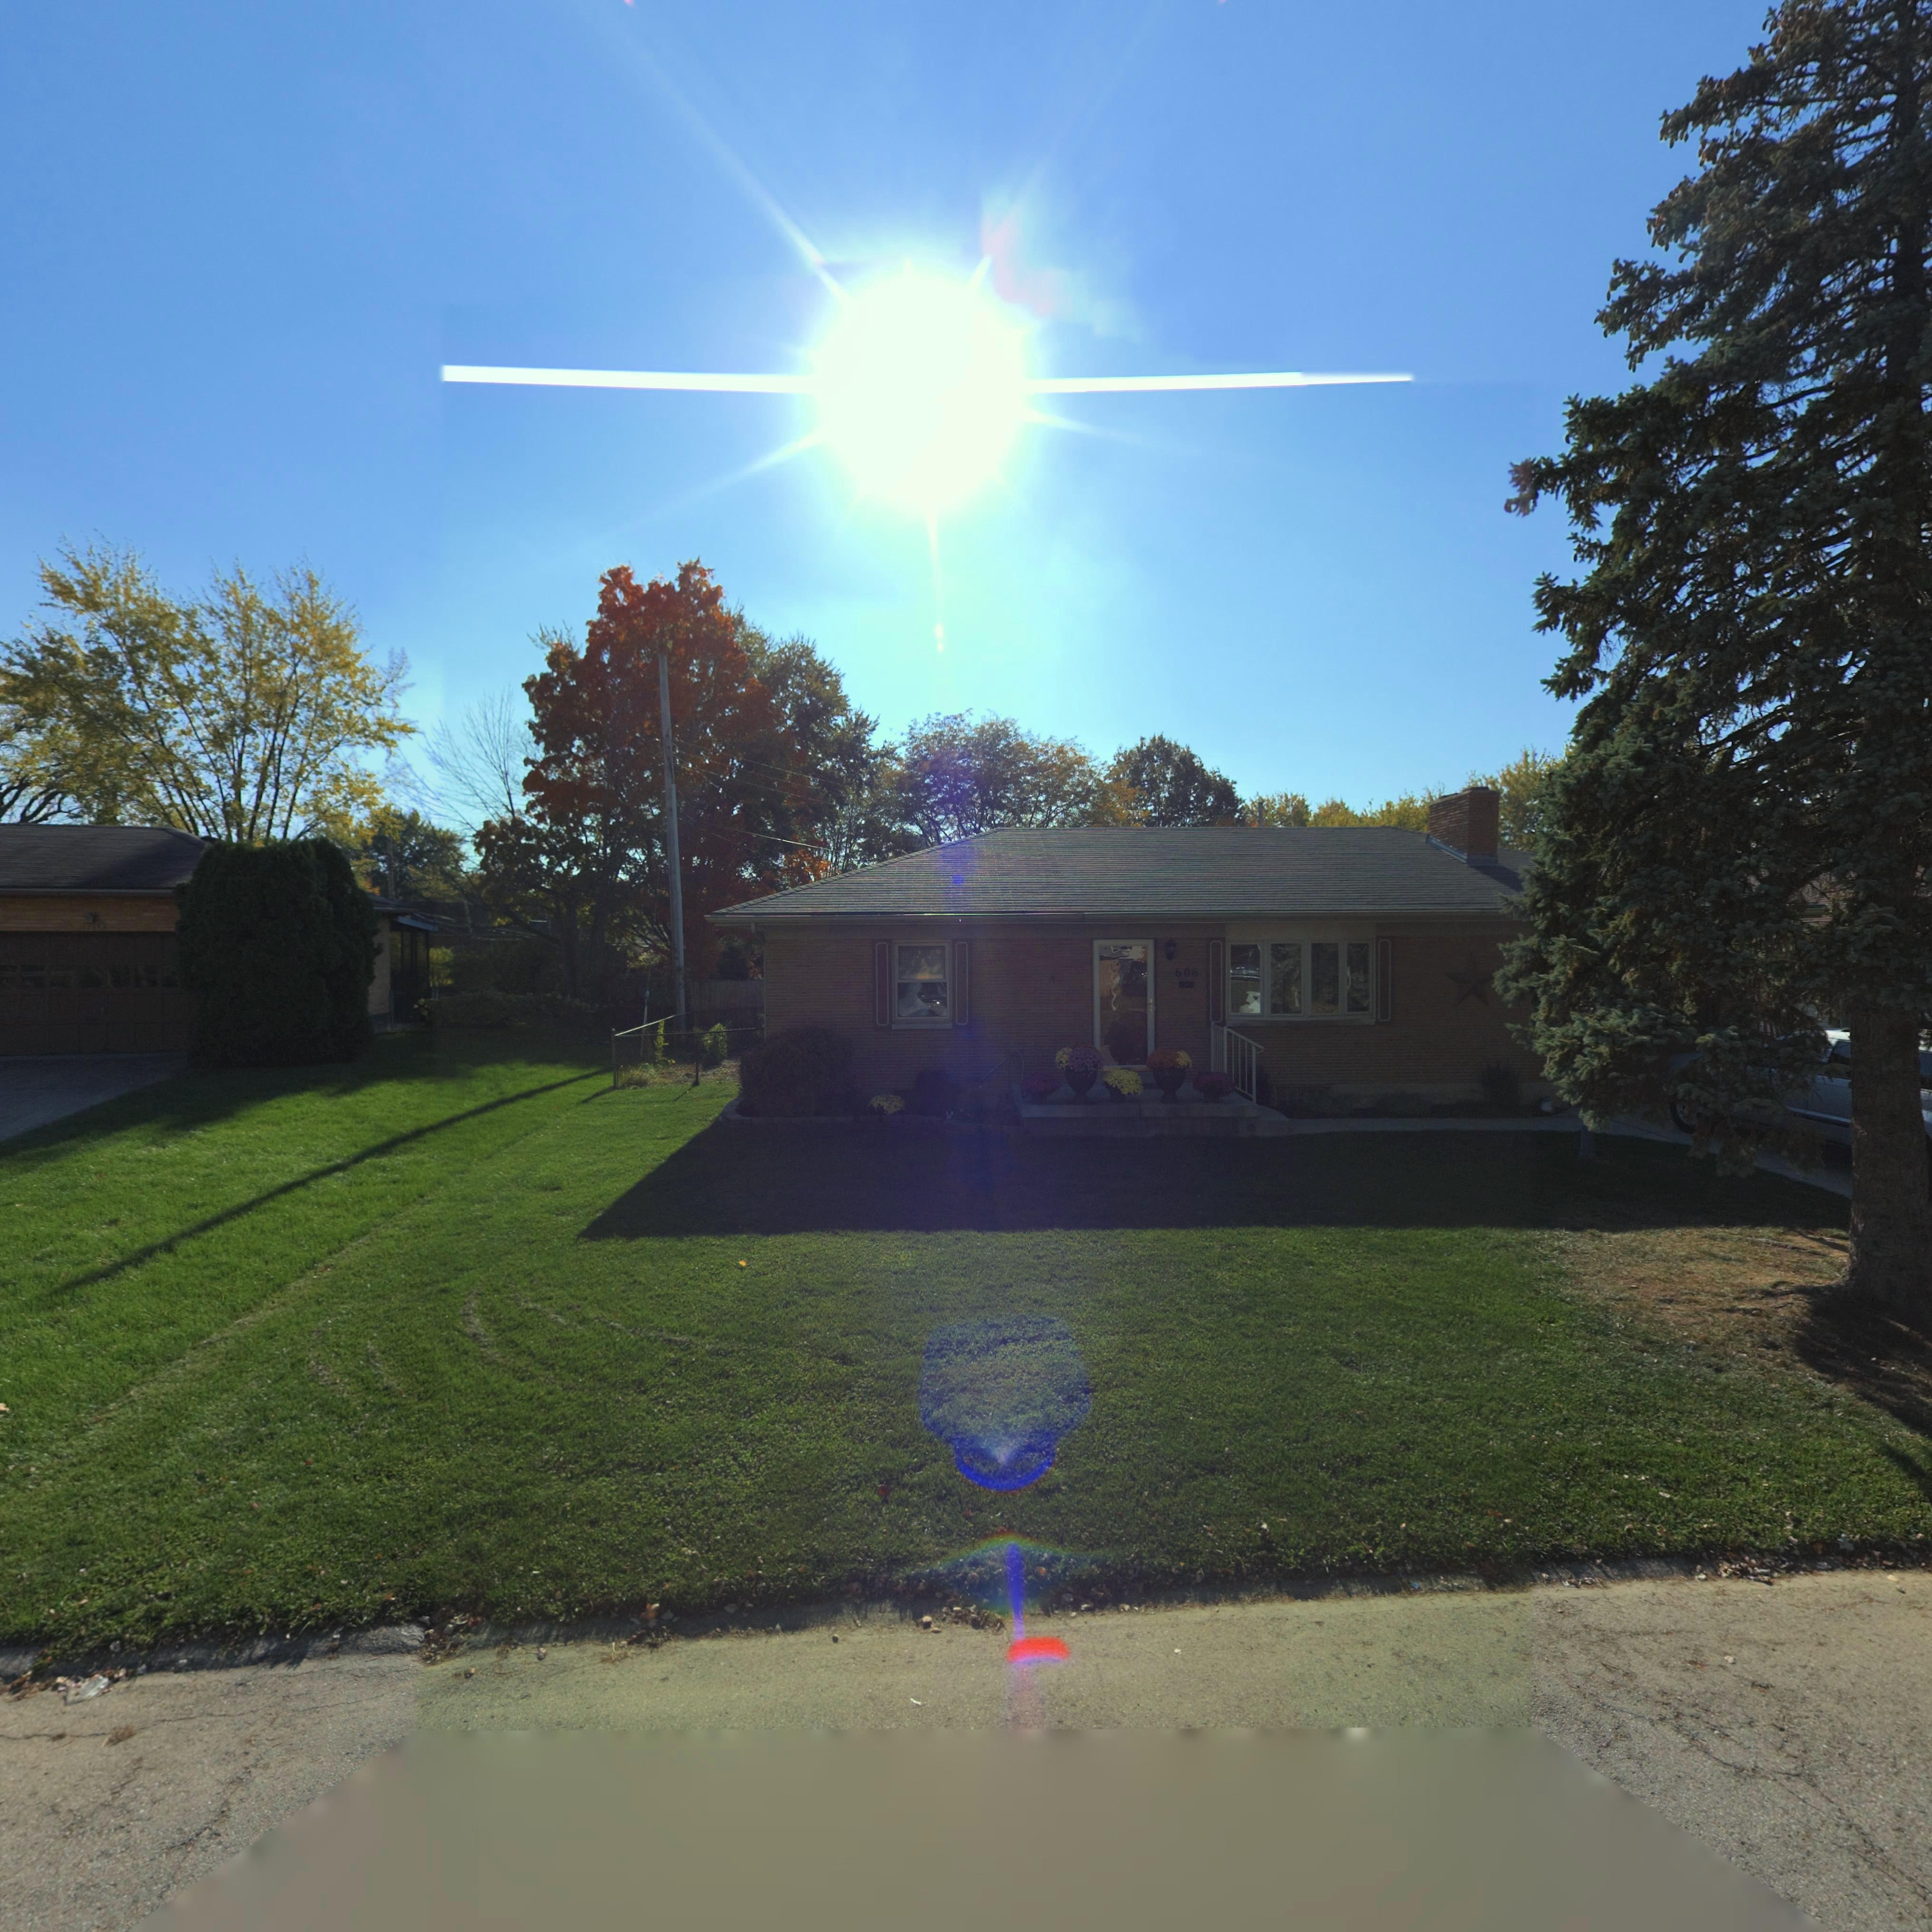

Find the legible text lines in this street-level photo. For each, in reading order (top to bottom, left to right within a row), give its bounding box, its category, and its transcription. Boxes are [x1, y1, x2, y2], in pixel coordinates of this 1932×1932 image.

[79, 920, 105, 931] StreetNumber: 610
[1175, 967, 1198, 977] StreetNumber: 606